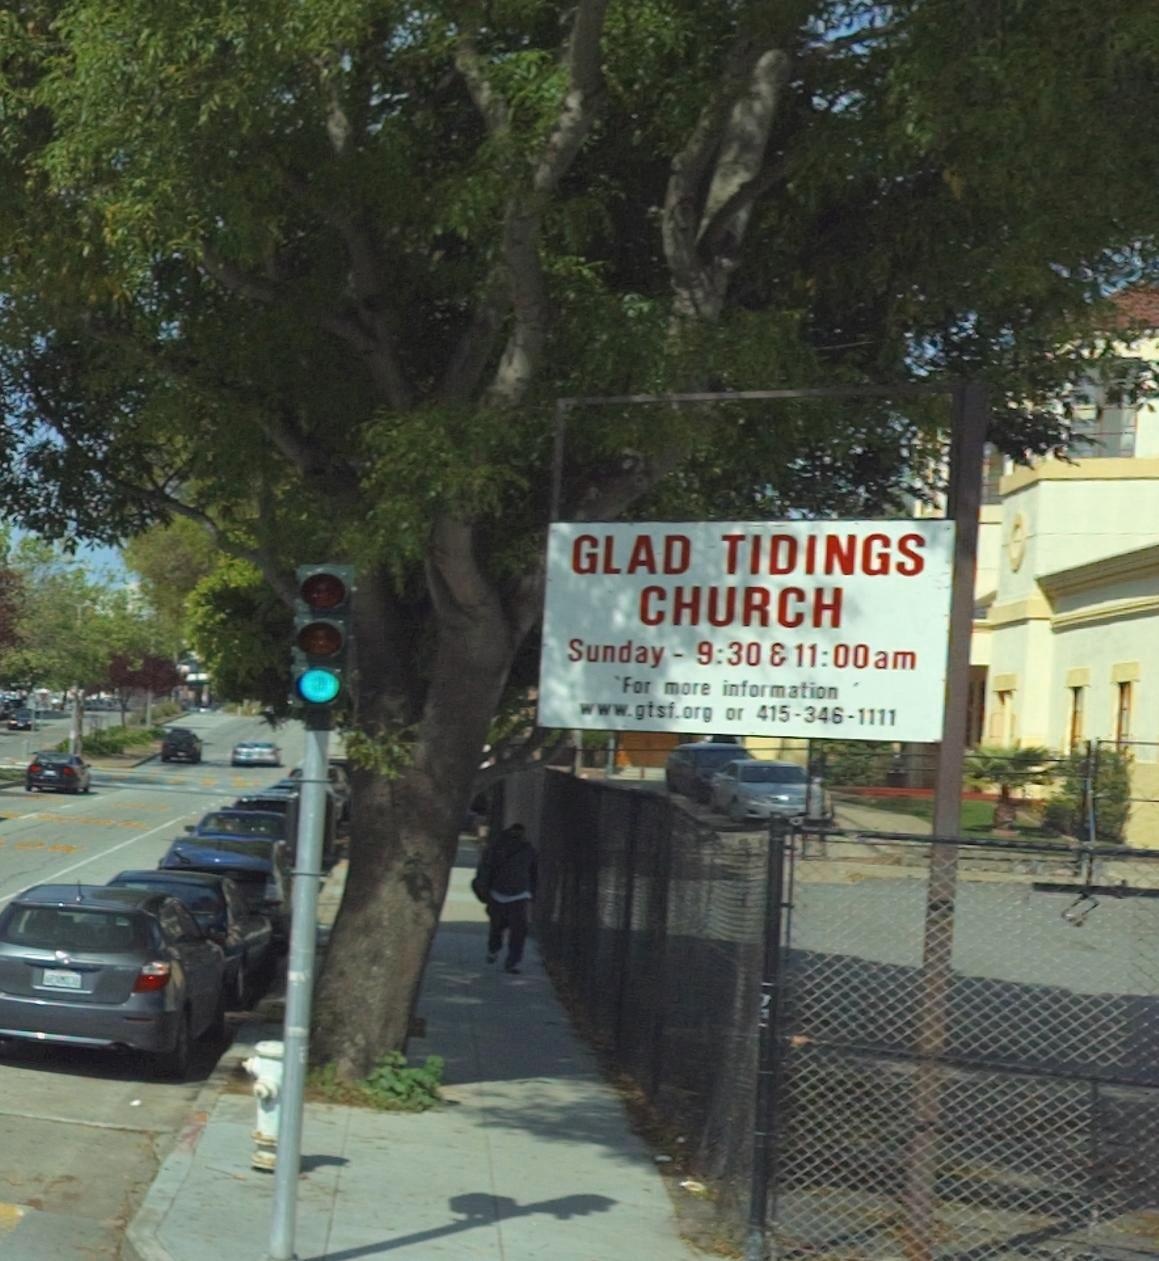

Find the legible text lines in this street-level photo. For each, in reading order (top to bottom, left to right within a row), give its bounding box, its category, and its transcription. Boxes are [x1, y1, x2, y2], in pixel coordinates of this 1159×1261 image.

[569, 531, 927, 578] BusinessName: GLAD TIDINGS
[634, 582, 849, 633] BusinessName: CHURCH
[563, 635, 922, 674] None: Sunday - 9:30 & 11:00am
[621, 673, 841, 702] None: For more information
[578, 698, 899, 730] None: www.gtsf.org or 415-346-1111